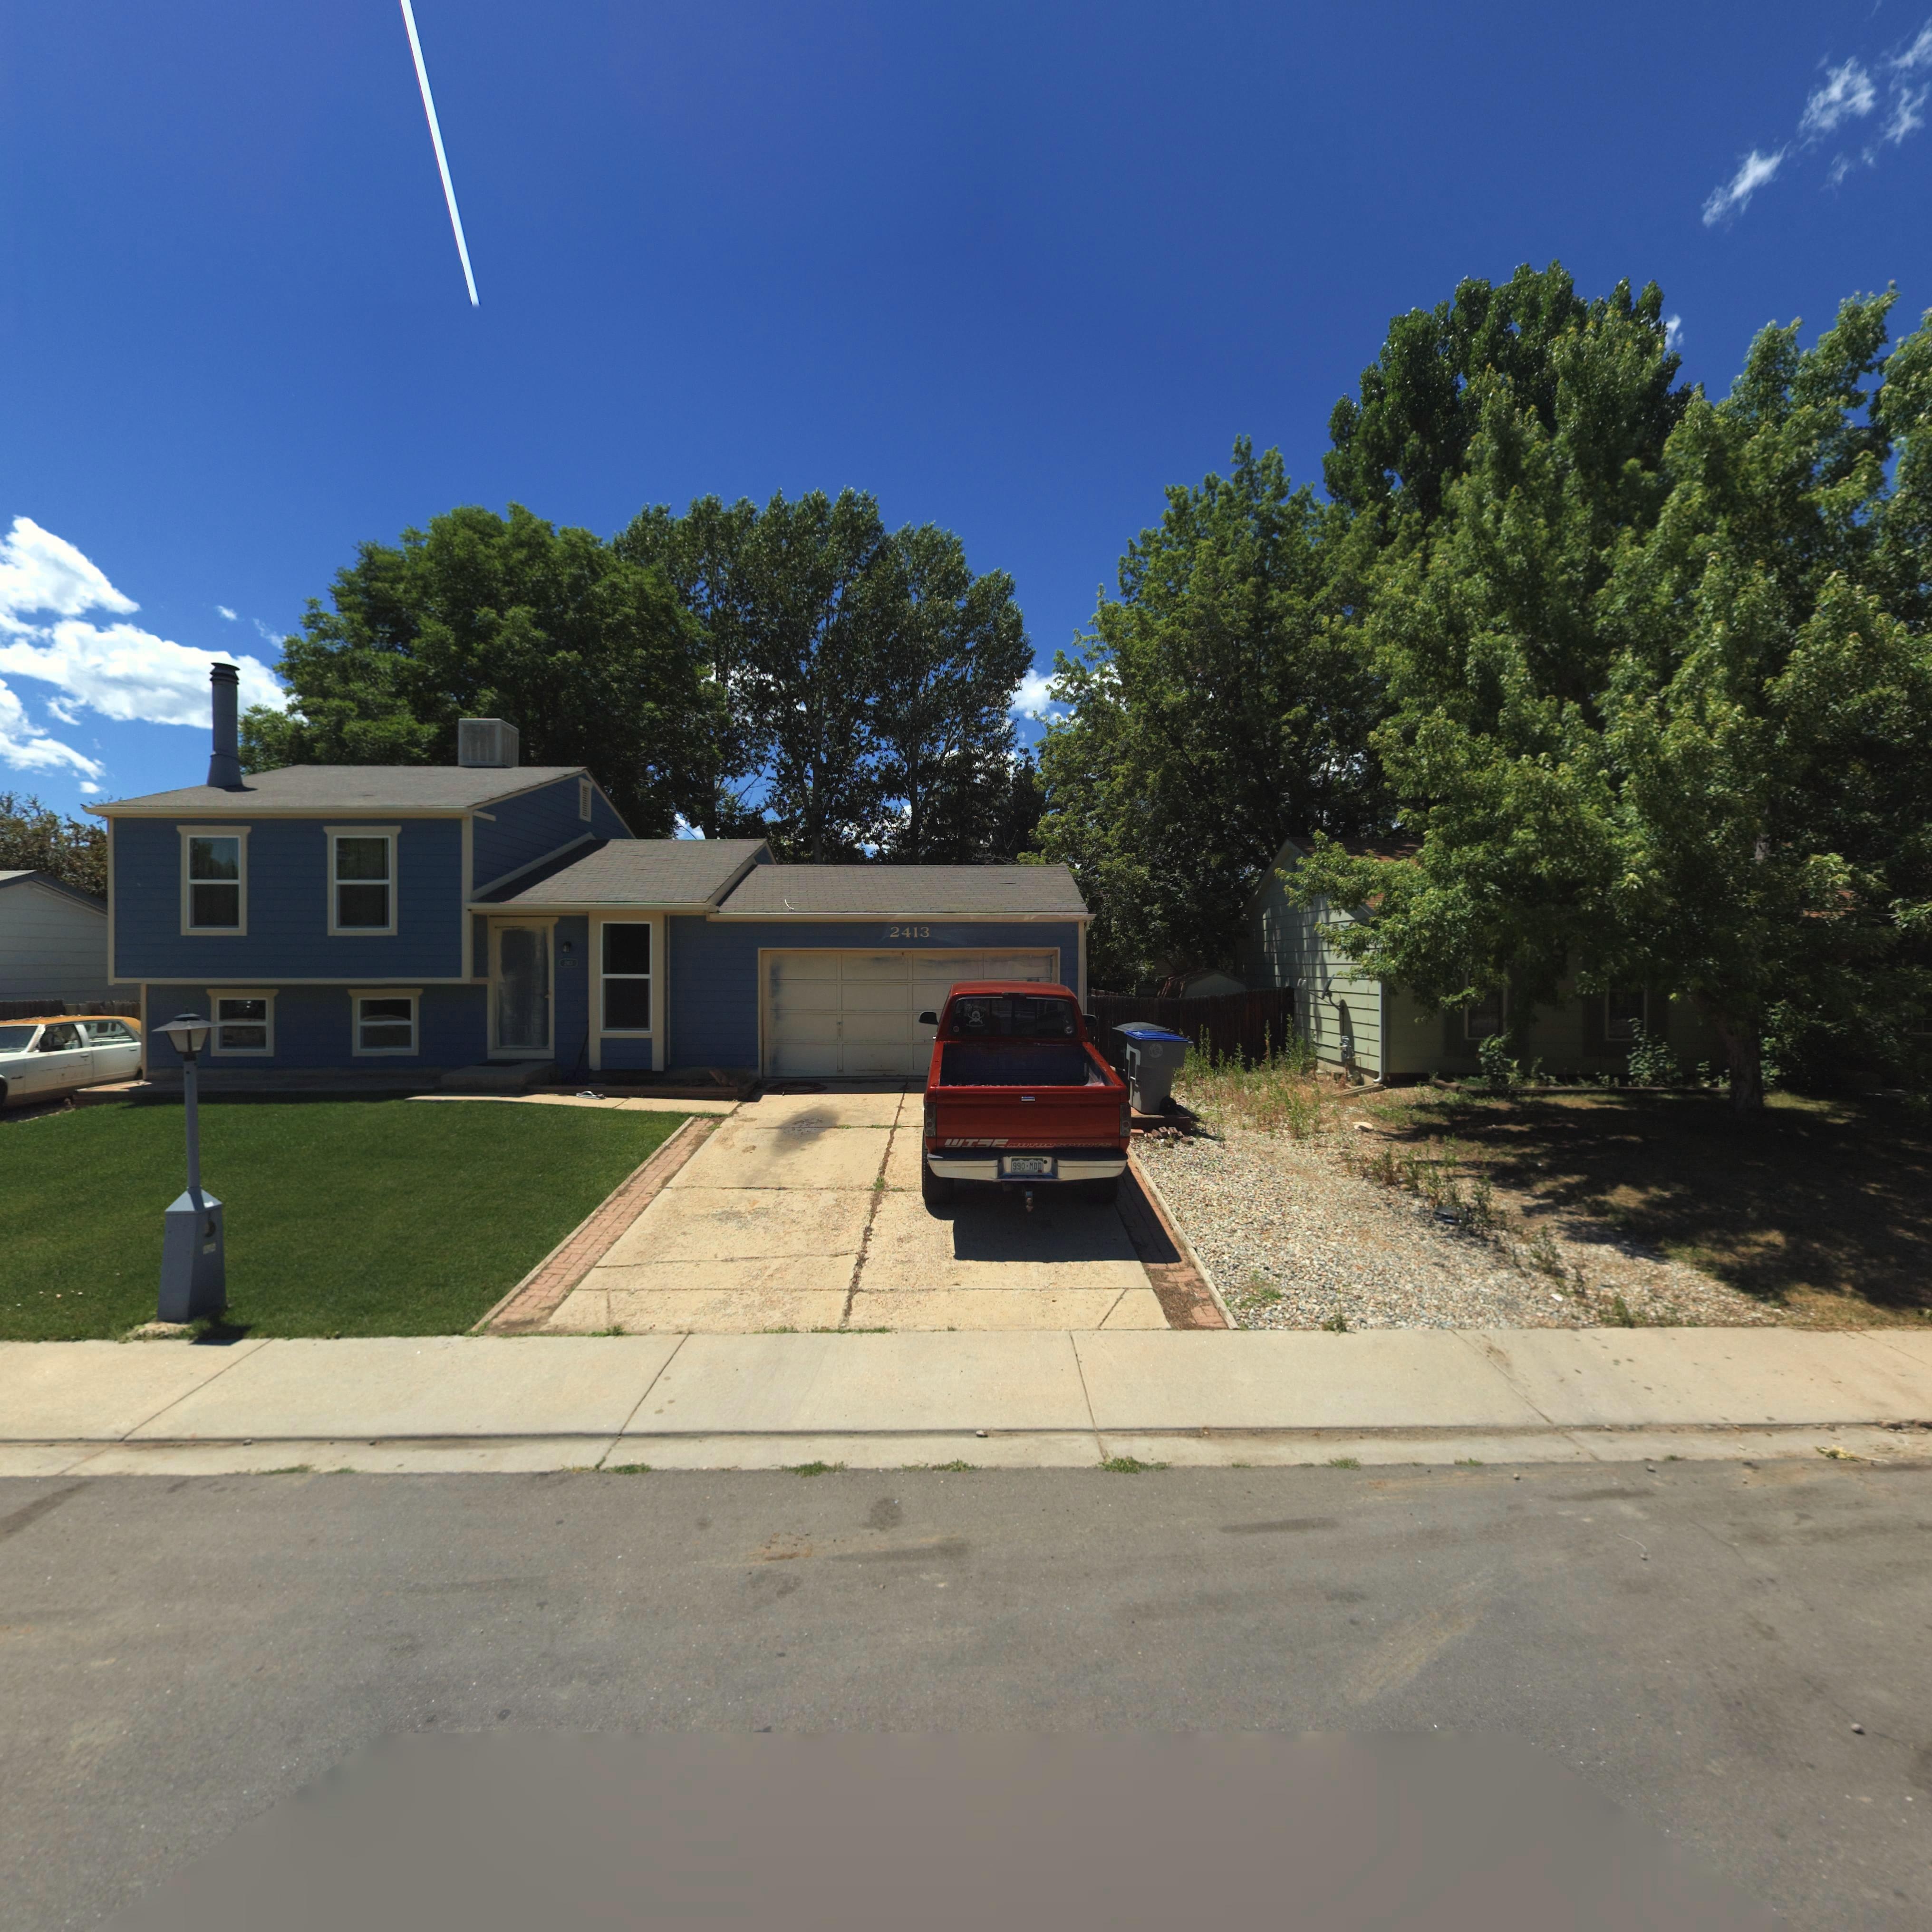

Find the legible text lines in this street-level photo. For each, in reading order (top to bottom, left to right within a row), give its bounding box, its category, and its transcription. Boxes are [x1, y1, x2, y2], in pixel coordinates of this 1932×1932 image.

[889, 926, 929, 937] StreetNumber: 2413